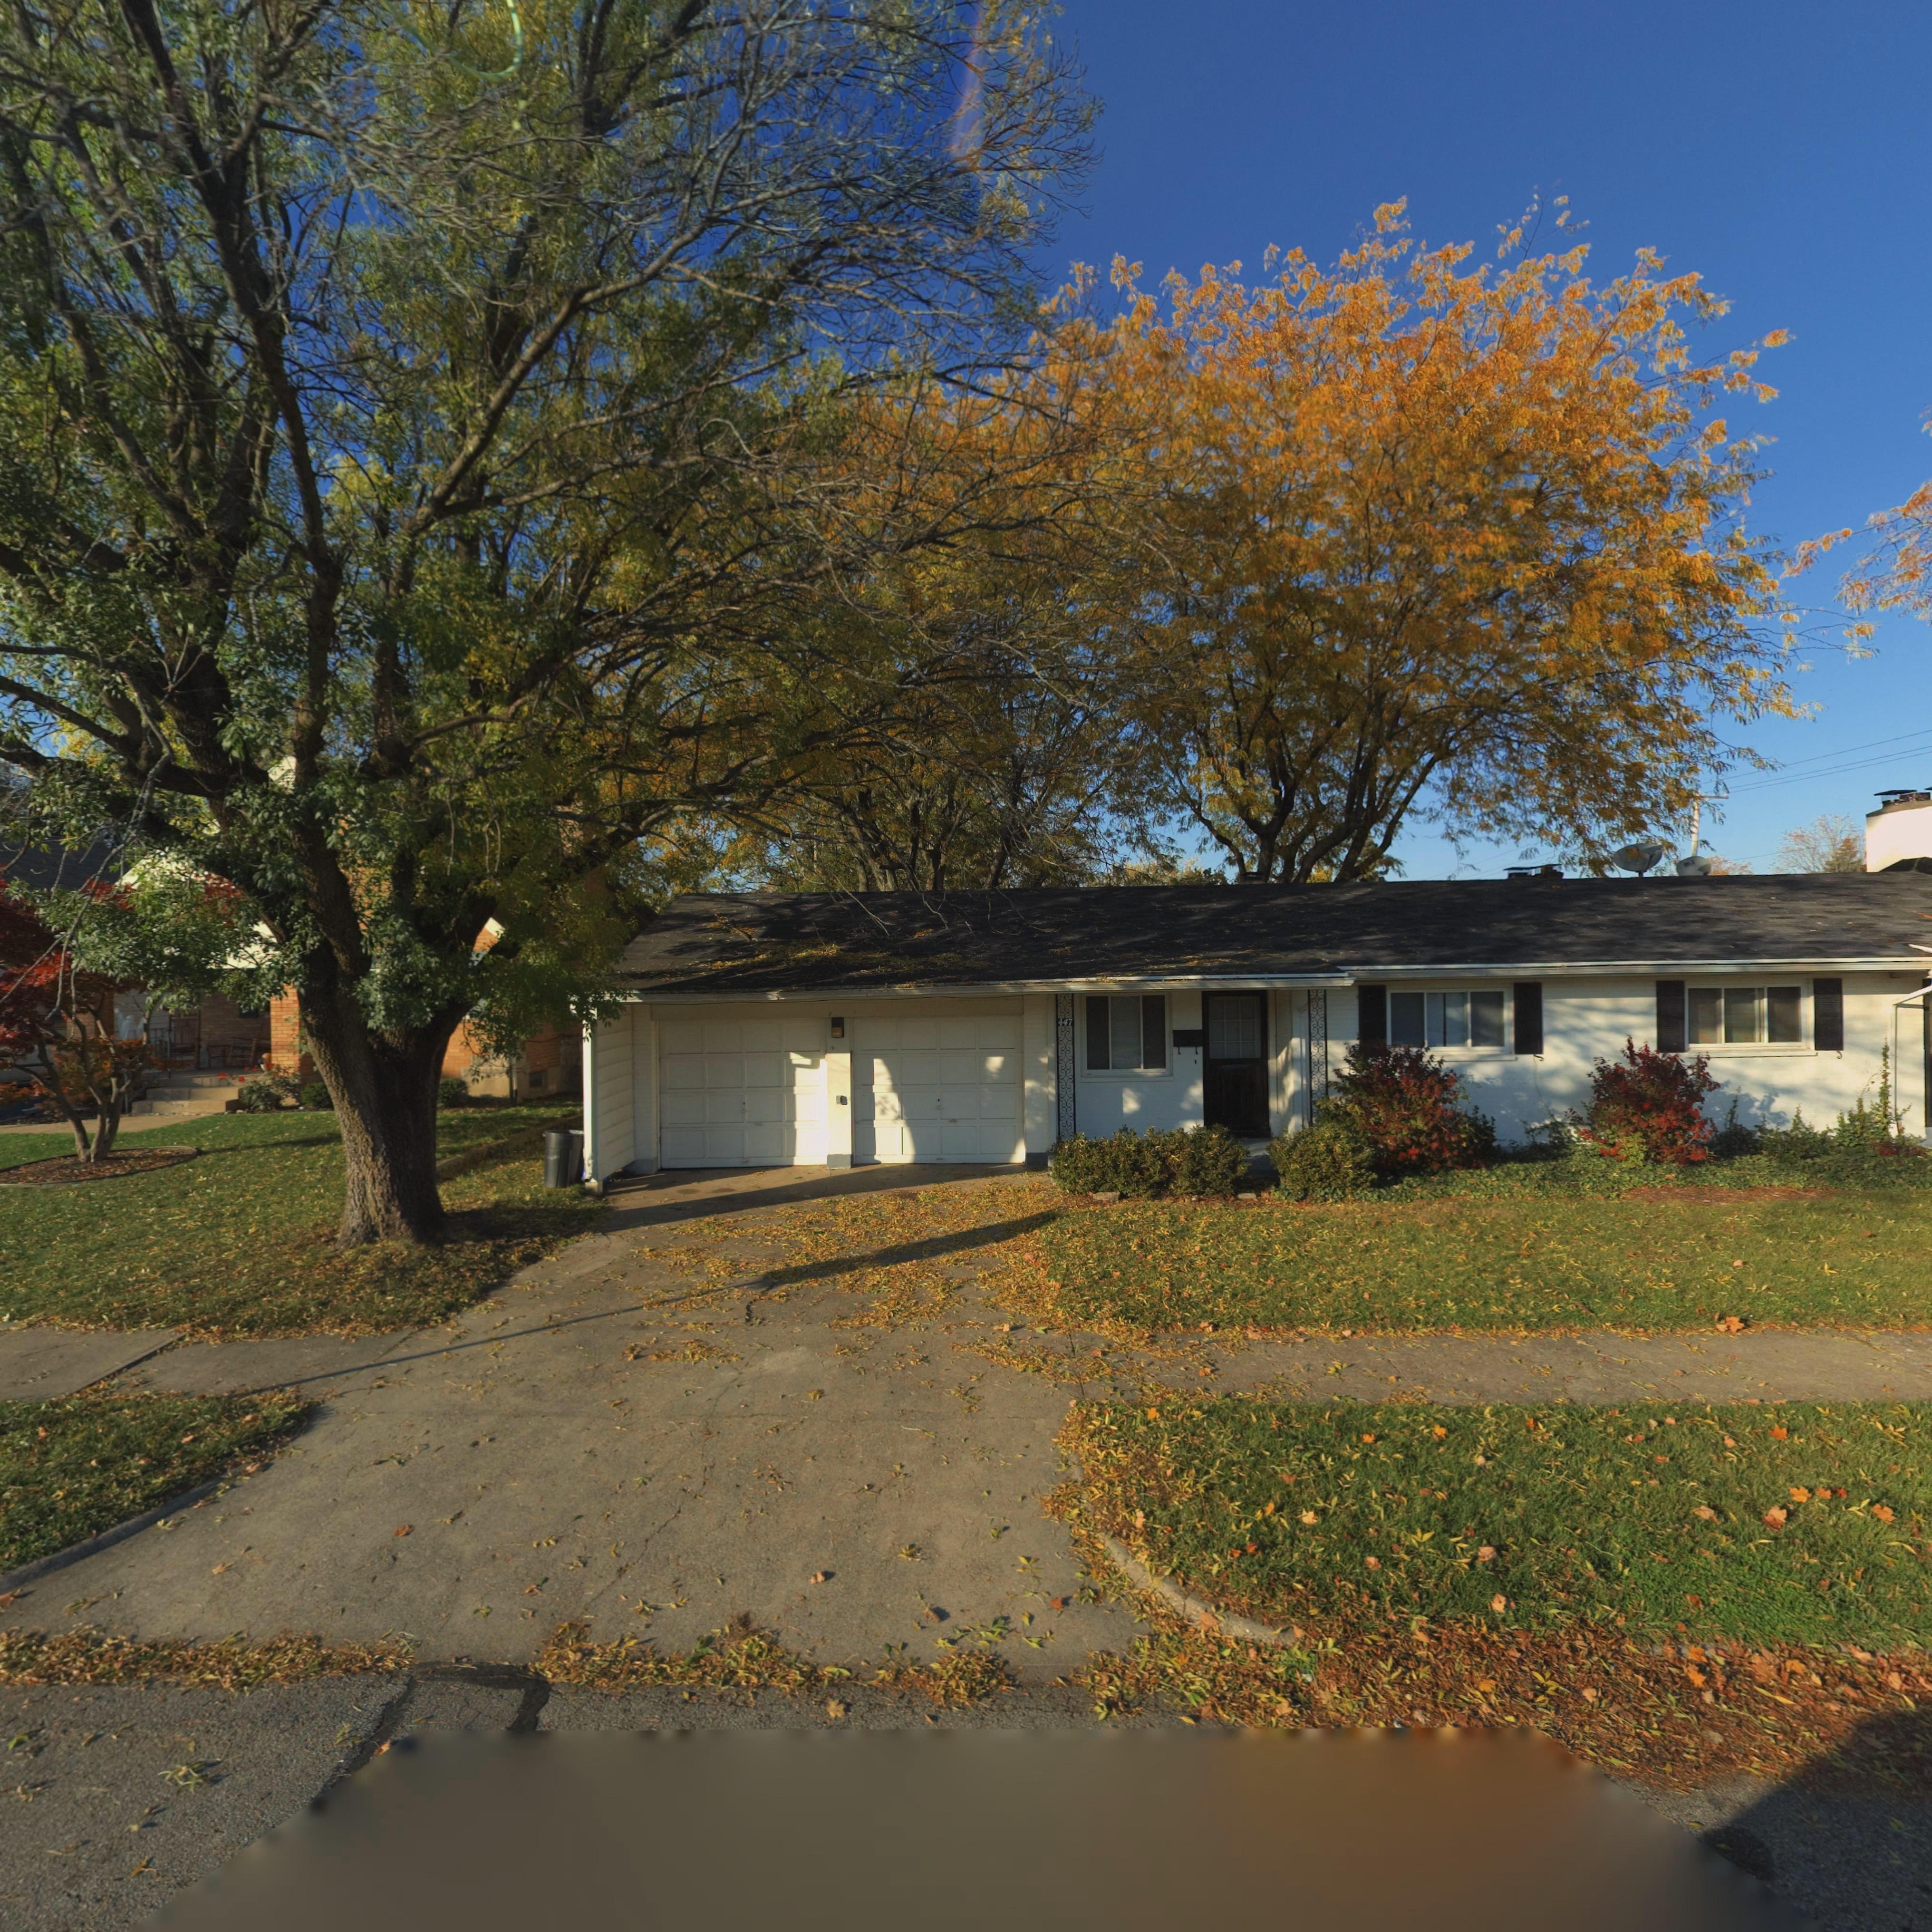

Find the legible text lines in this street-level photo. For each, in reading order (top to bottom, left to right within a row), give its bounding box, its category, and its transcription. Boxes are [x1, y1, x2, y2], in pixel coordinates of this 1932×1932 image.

[1057, 1018, 1072, 1025] StreetNumber: 447